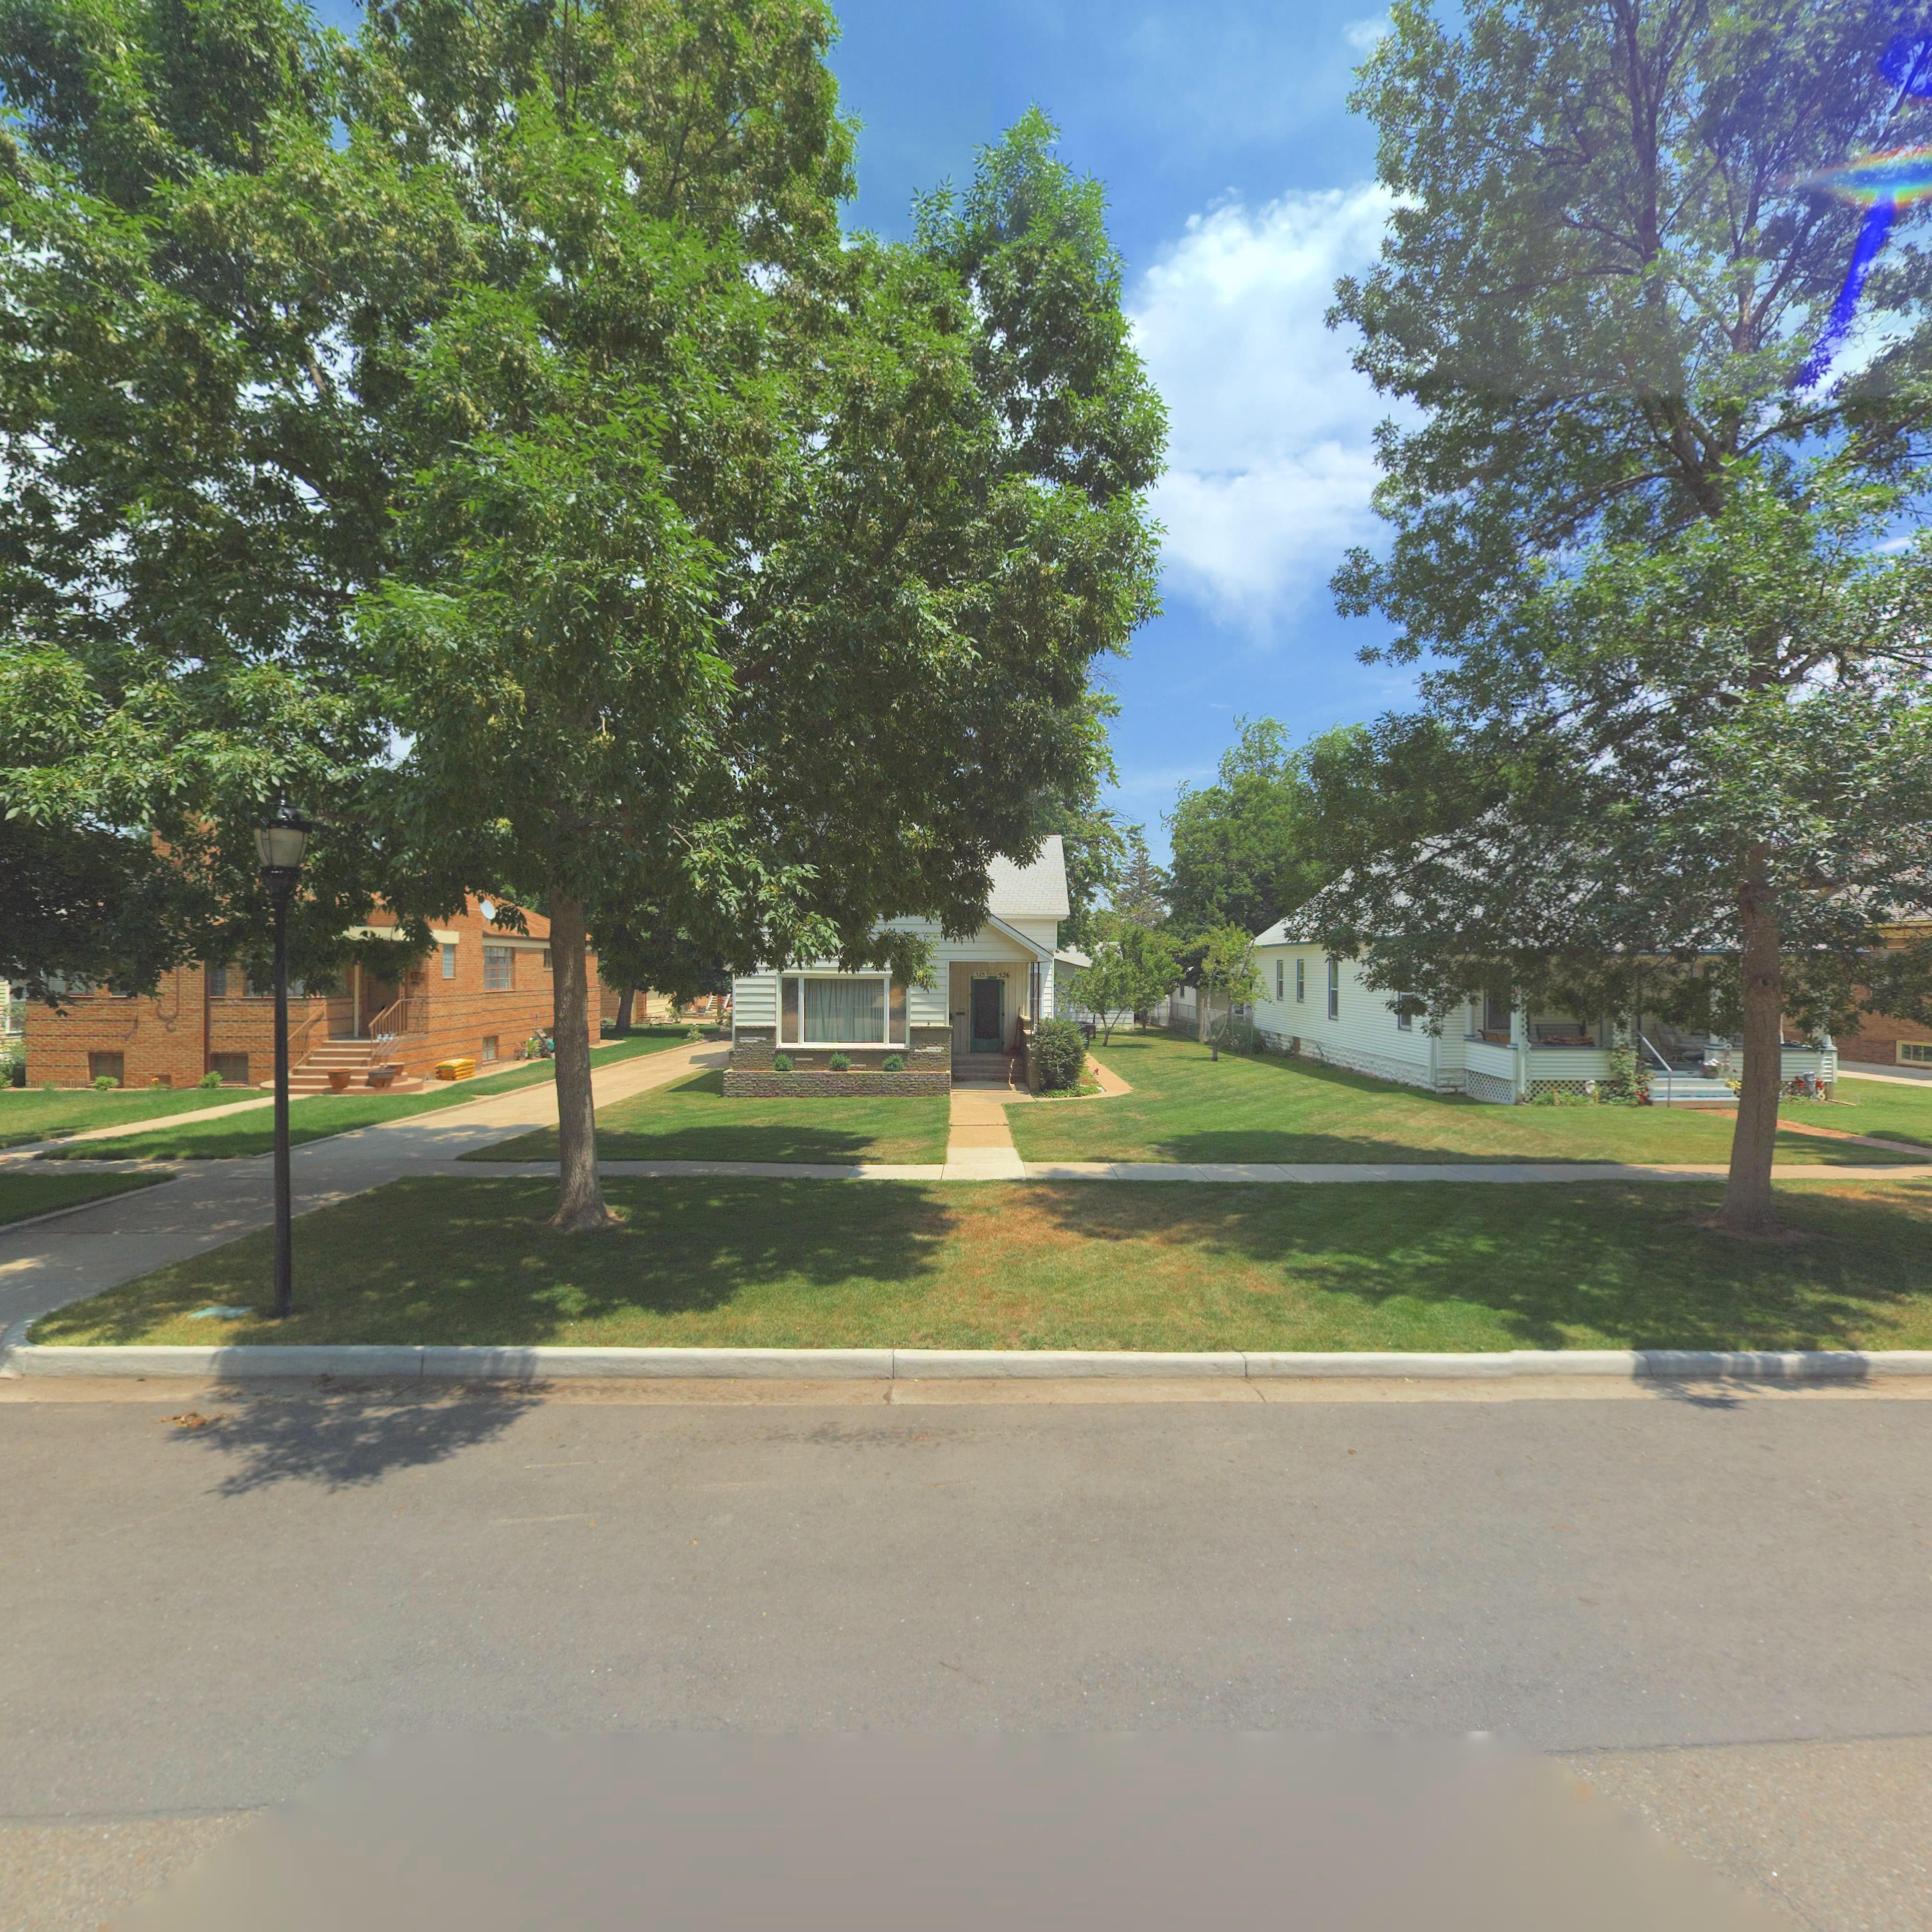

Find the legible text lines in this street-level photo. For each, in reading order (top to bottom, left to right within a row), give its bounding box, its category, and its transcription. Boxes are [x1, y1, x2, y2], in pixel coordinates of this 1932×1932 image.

[975, 972, 985, 976] StreetNumber: 528
[998, 972, 1010, 978] StreetNumber: 526